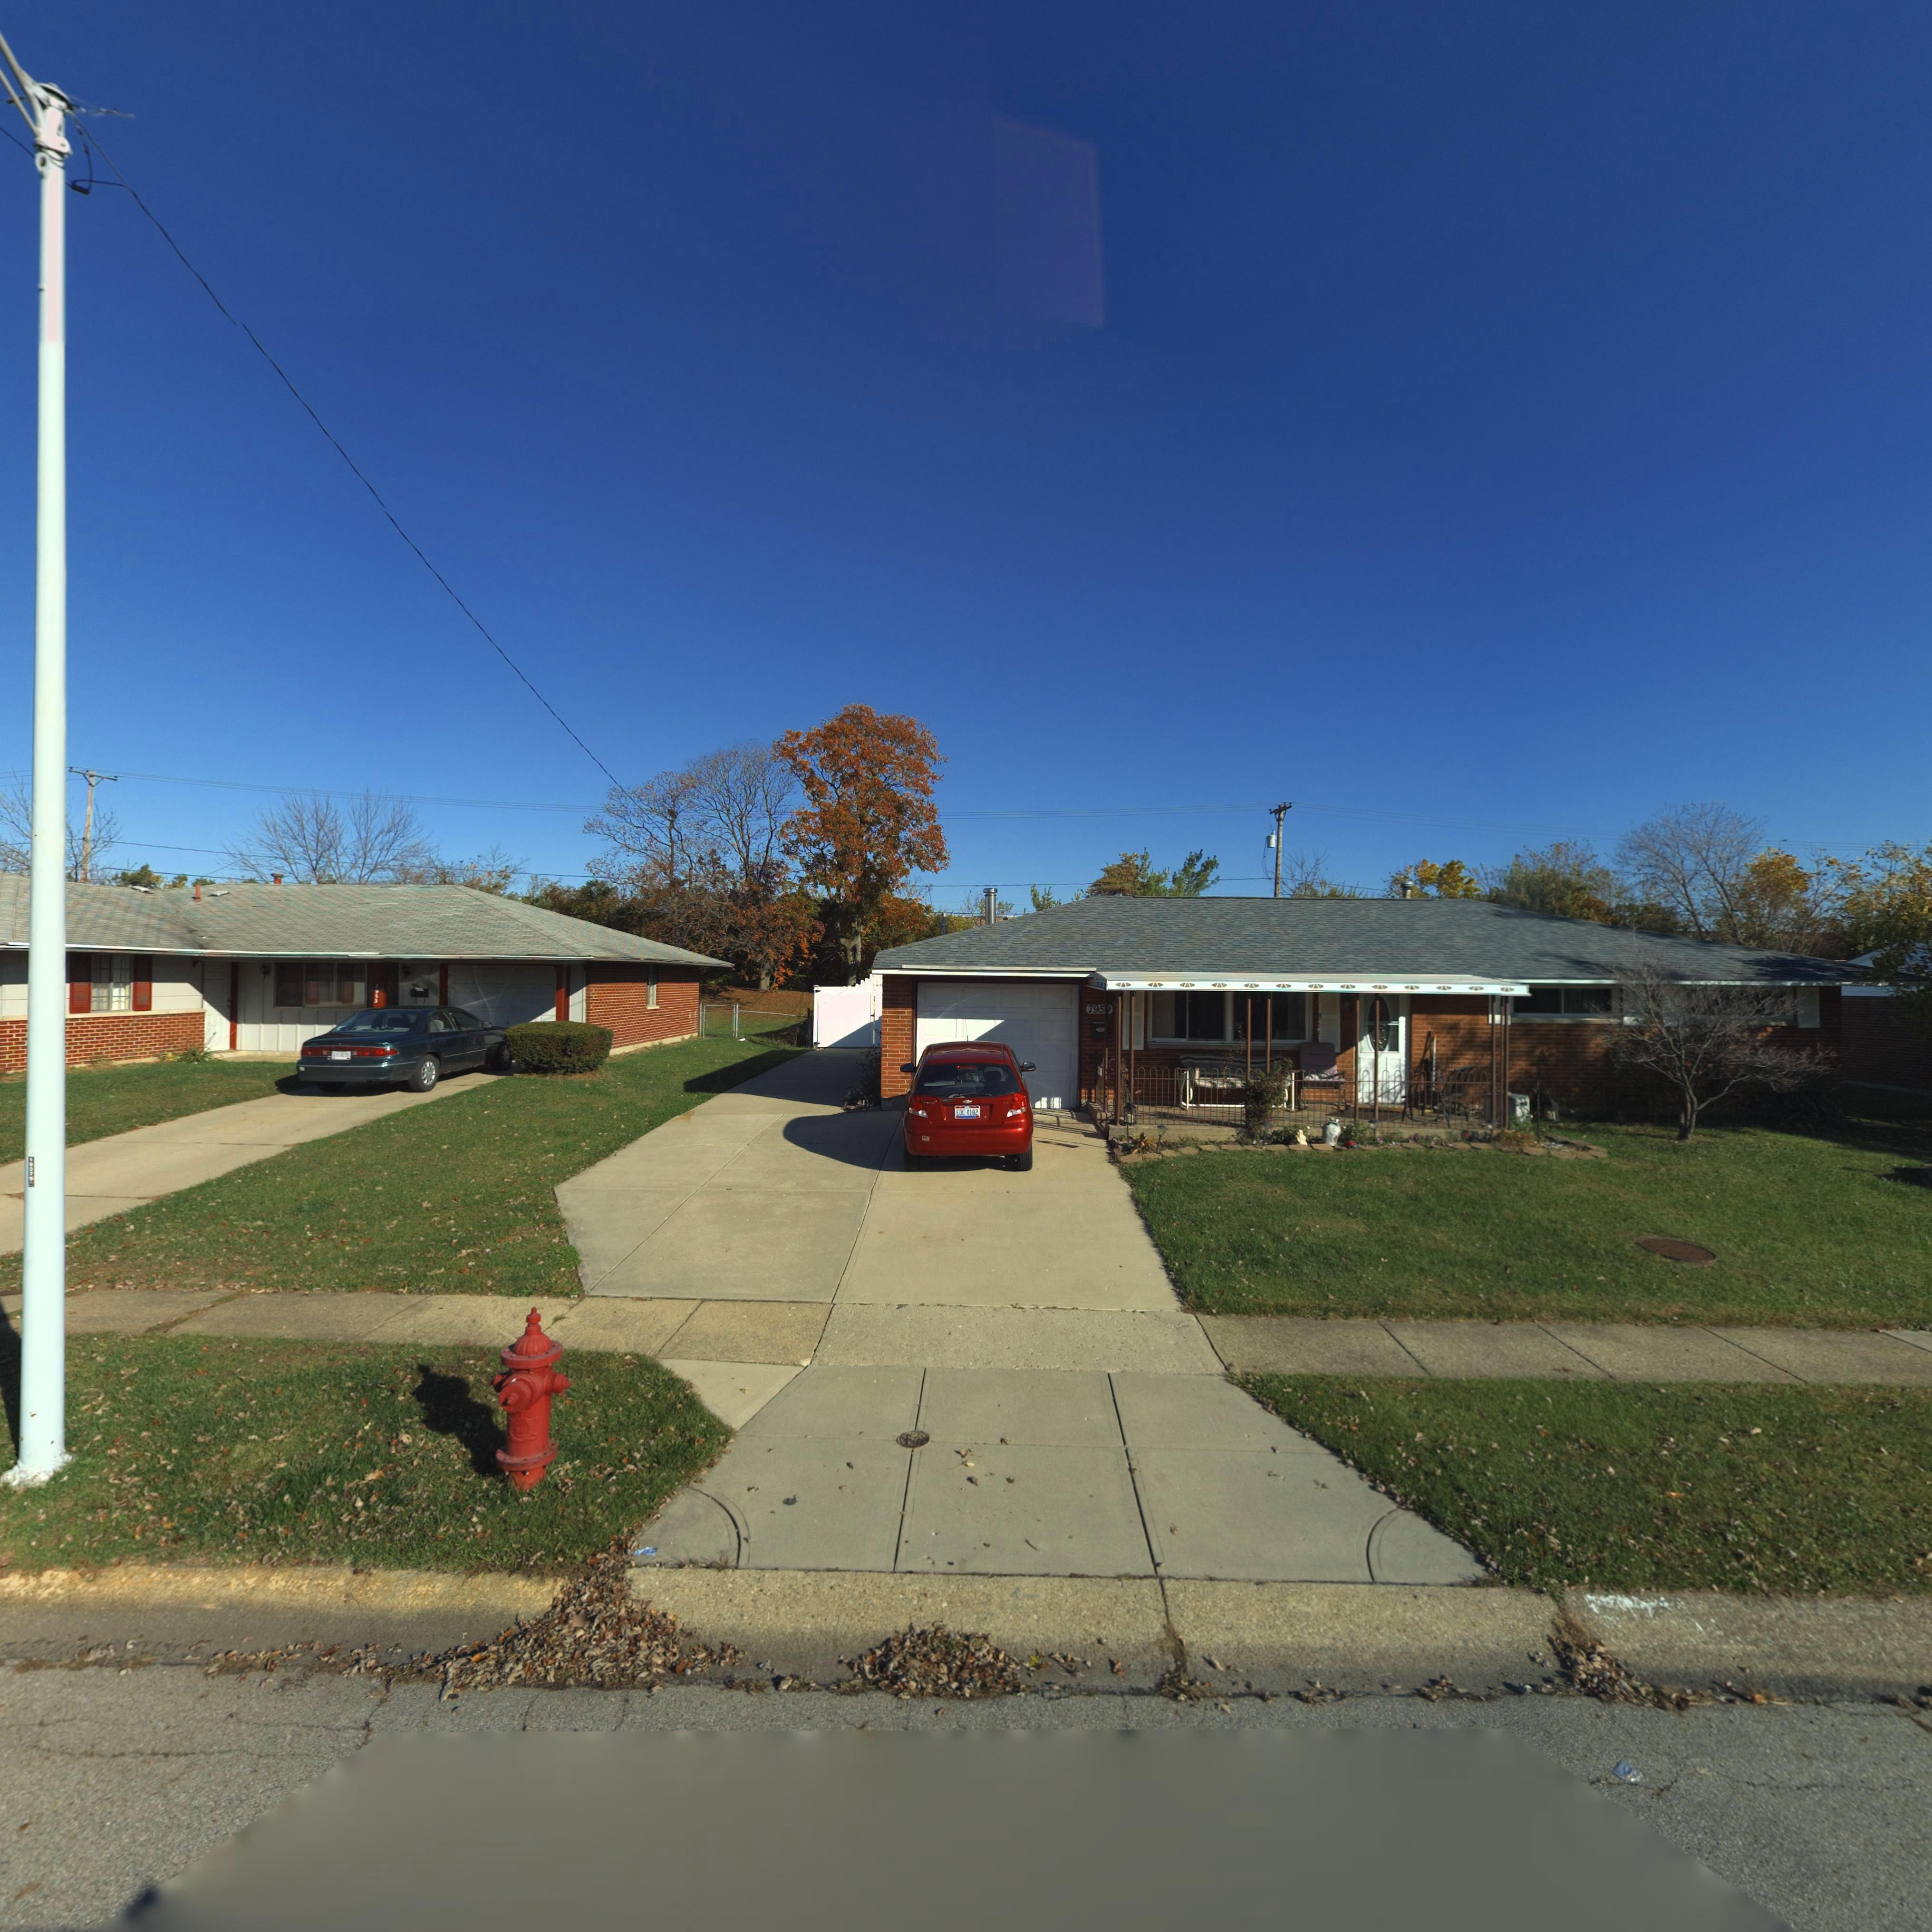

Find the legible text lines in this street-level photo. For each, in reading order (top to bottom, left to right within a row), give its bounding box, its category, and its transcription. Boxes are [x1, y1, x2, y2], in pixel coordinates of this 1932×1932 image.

[372, 983, 380, 1005] StreetNumber: 79**
[1087, 1004, 1112, 1015] StreetNumber: 795*